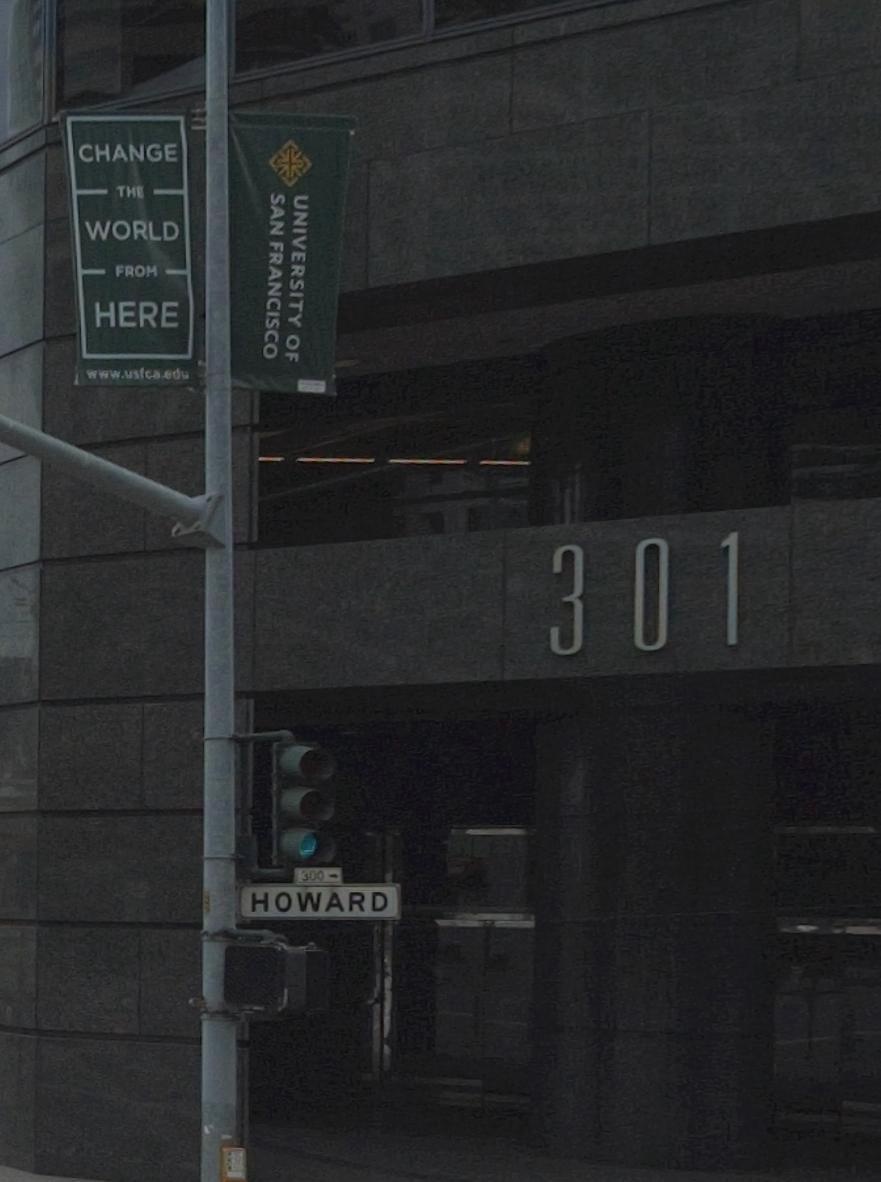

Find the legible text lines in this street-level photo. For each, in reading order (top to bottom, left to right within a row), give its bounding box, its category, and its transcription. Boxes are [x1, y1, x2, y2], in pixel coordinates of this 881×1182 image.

[76, 140, 180, 167] None: CHANGE
[112, 183, 148, 200] None: TH*
[81, 218, 182, 245] None: WORLD
[113, 262, 160, 280] None: FROM
[260, 189, 288, 363] None: SAN FRANCISCO
[282, 192, 311, 365] None: UNIVERSITY OF
[92, 299, 182, 331] None: HERE
[547, 527, 742, 659] StreetNumber: 301
[299, 867, 341, 884] StreetNumberRange: 300->
[248, 889, 391, 915] StreetNumber: HOWARD